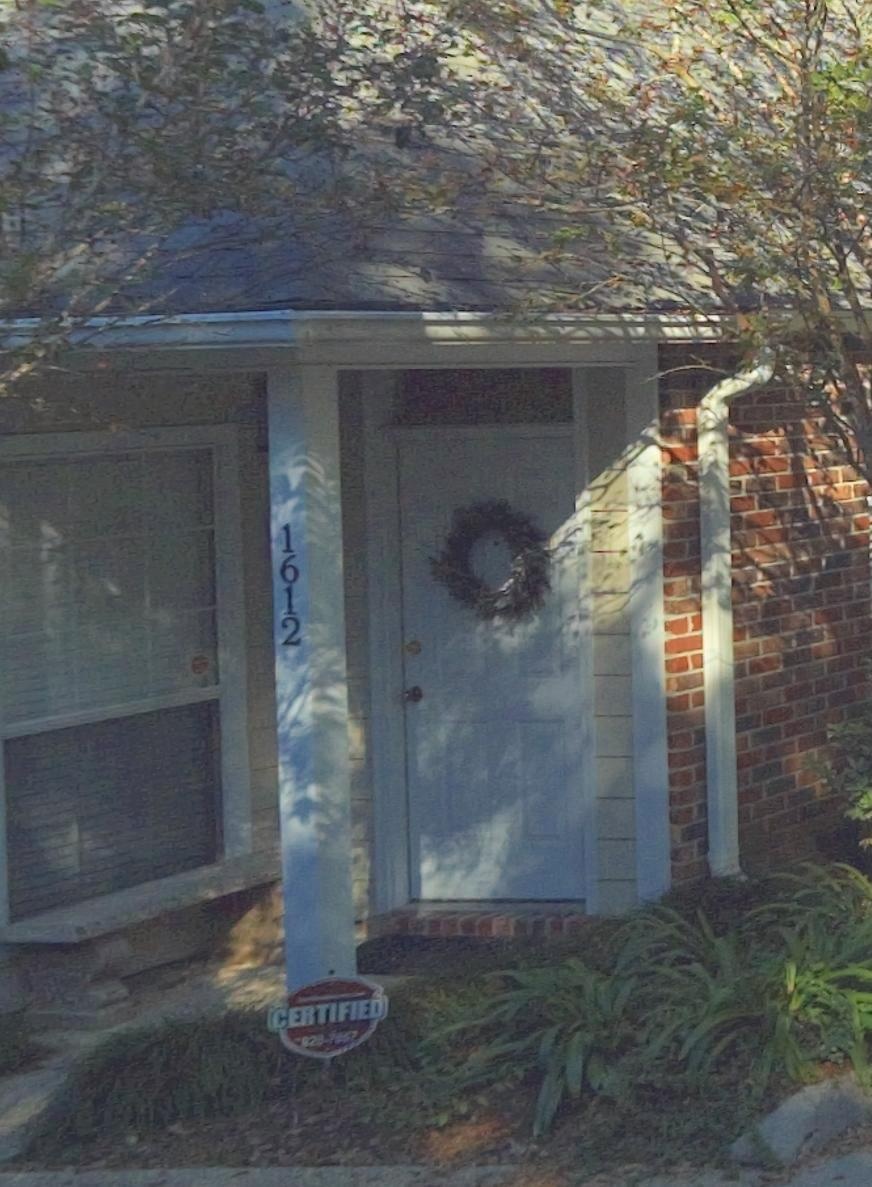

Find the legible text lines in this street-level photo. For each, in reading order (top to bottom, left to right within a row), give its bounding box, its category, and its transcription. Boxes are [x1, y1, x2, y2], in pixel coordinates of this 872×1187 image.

[278, 521, 304, 649] StreetNumber: 1612
[271, 997, 385, 1030] None: CERTIFIED